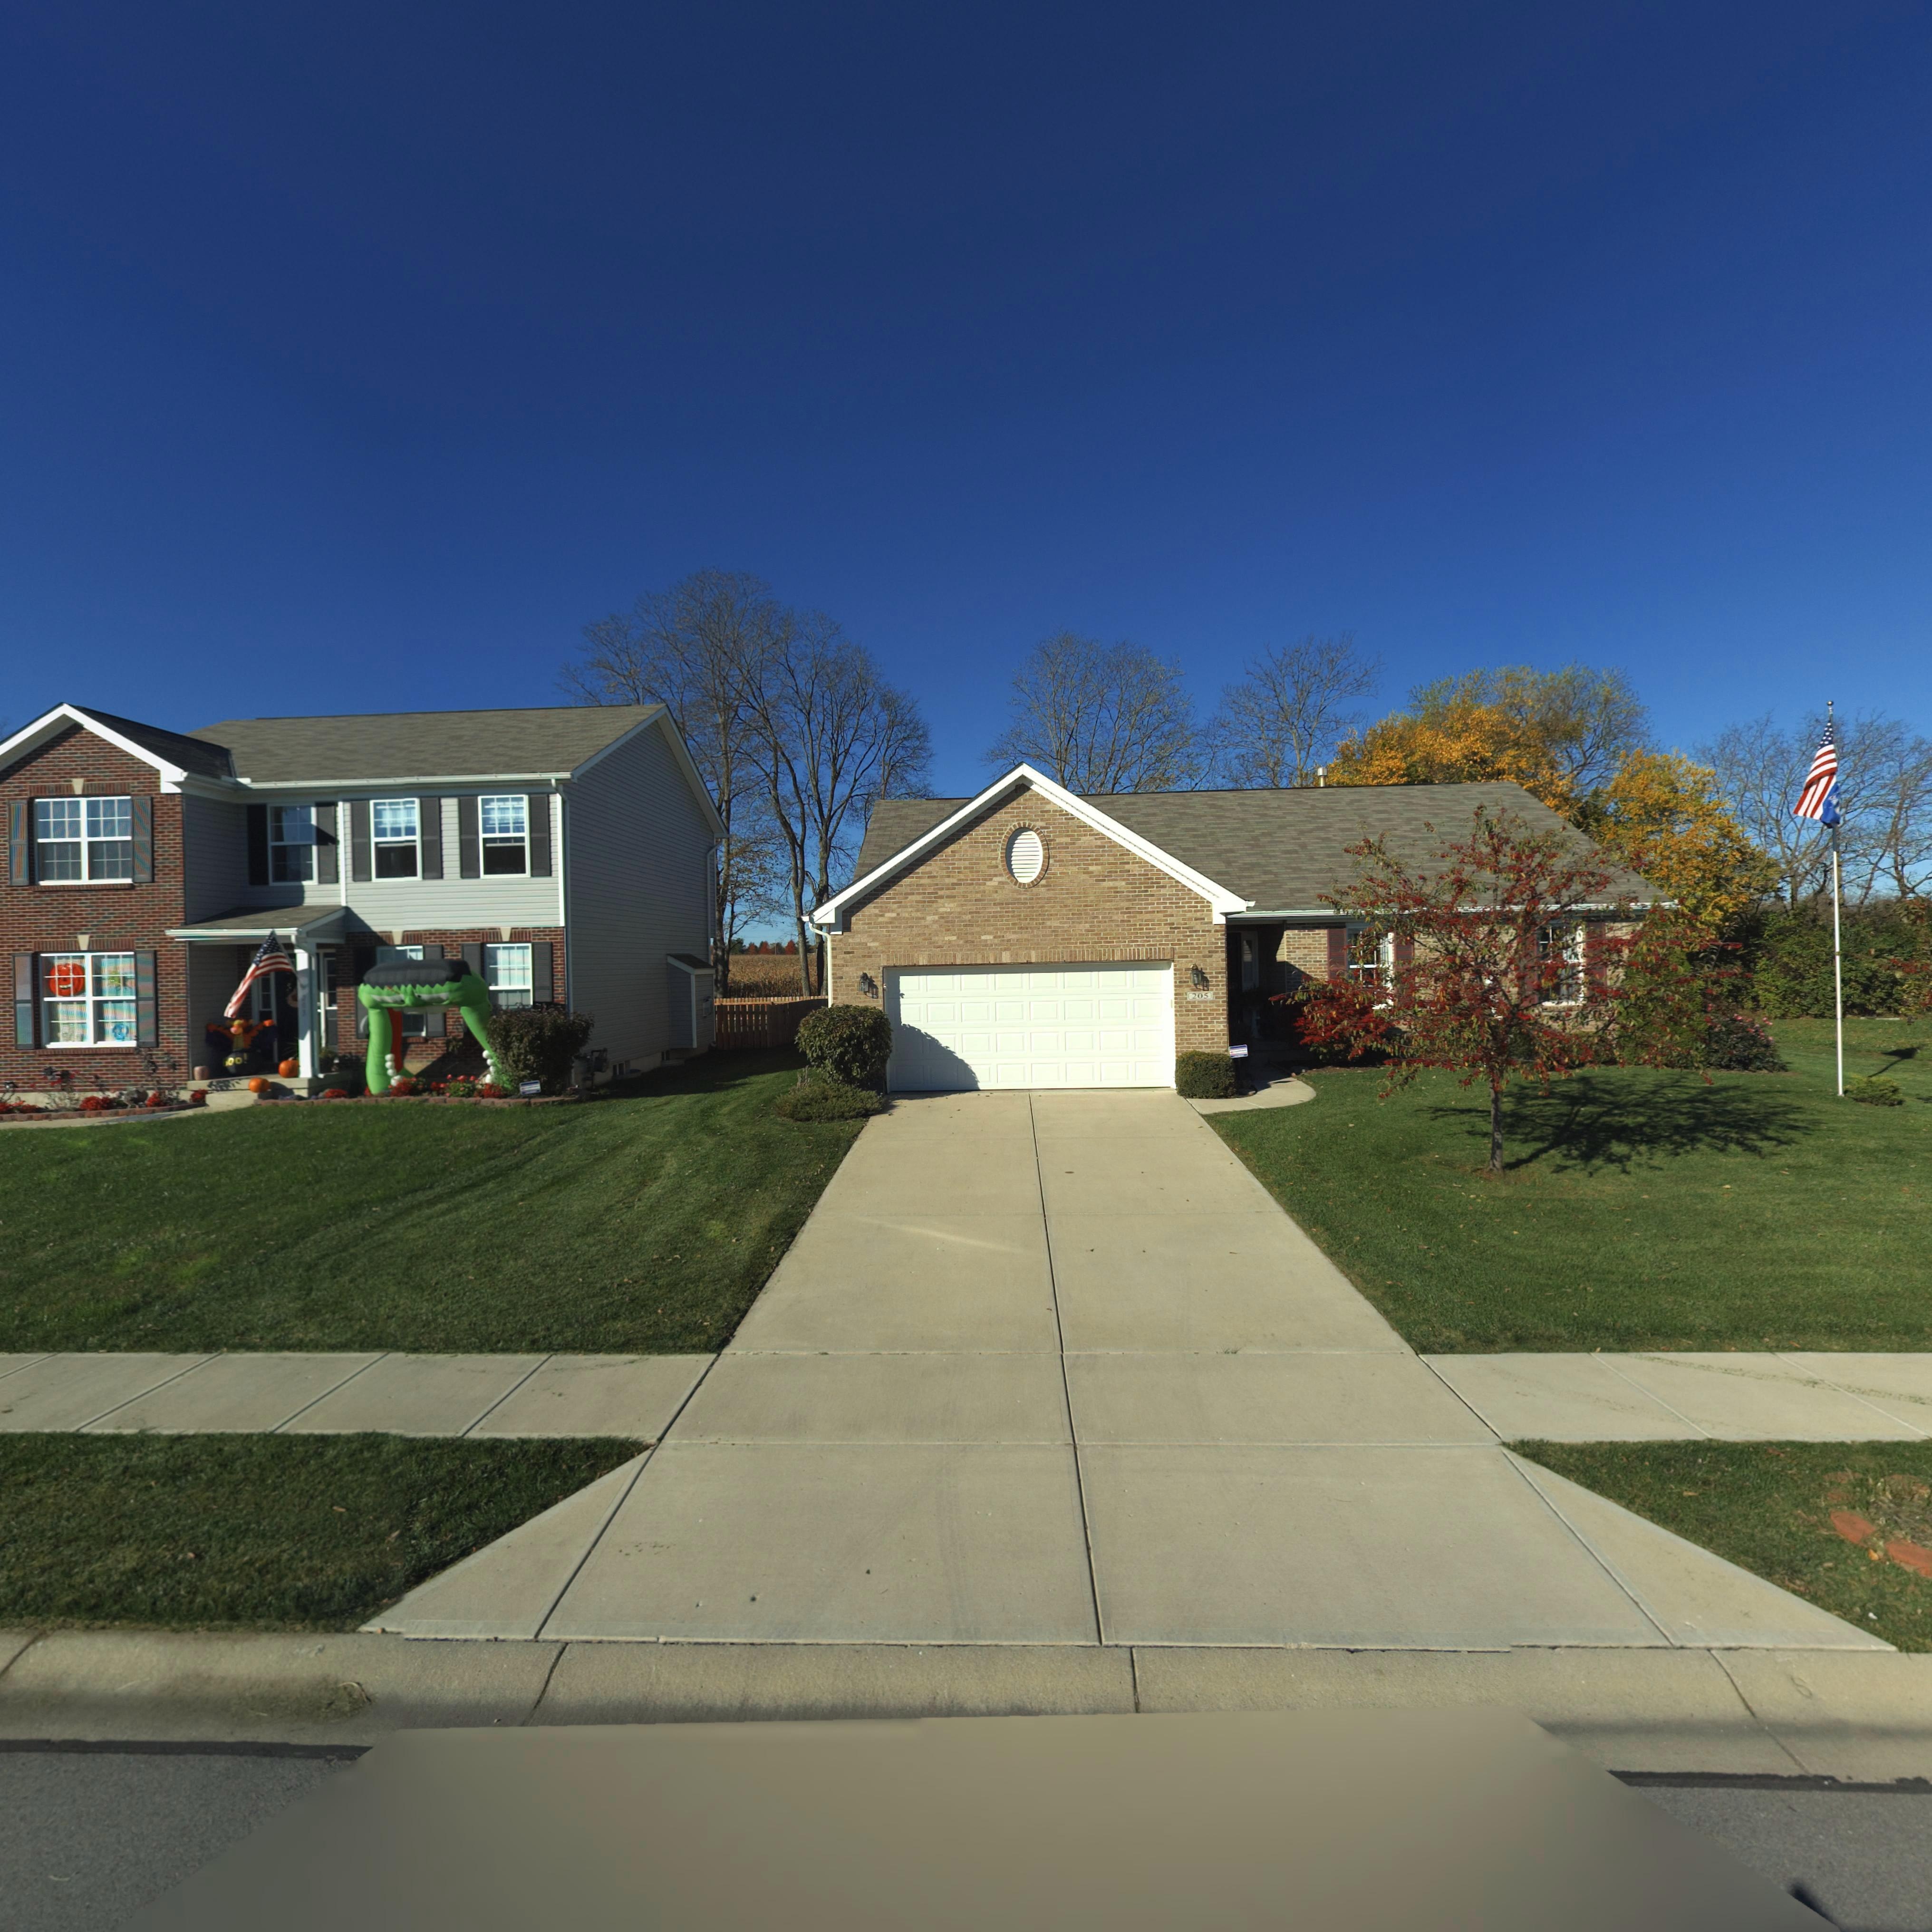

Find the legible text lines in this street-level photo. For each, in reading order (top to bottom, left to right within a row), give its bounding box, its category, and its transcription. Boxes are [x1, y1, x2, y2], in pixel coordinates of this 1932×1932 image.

[1191, 992, 1209, 999] StreetNumber: 205